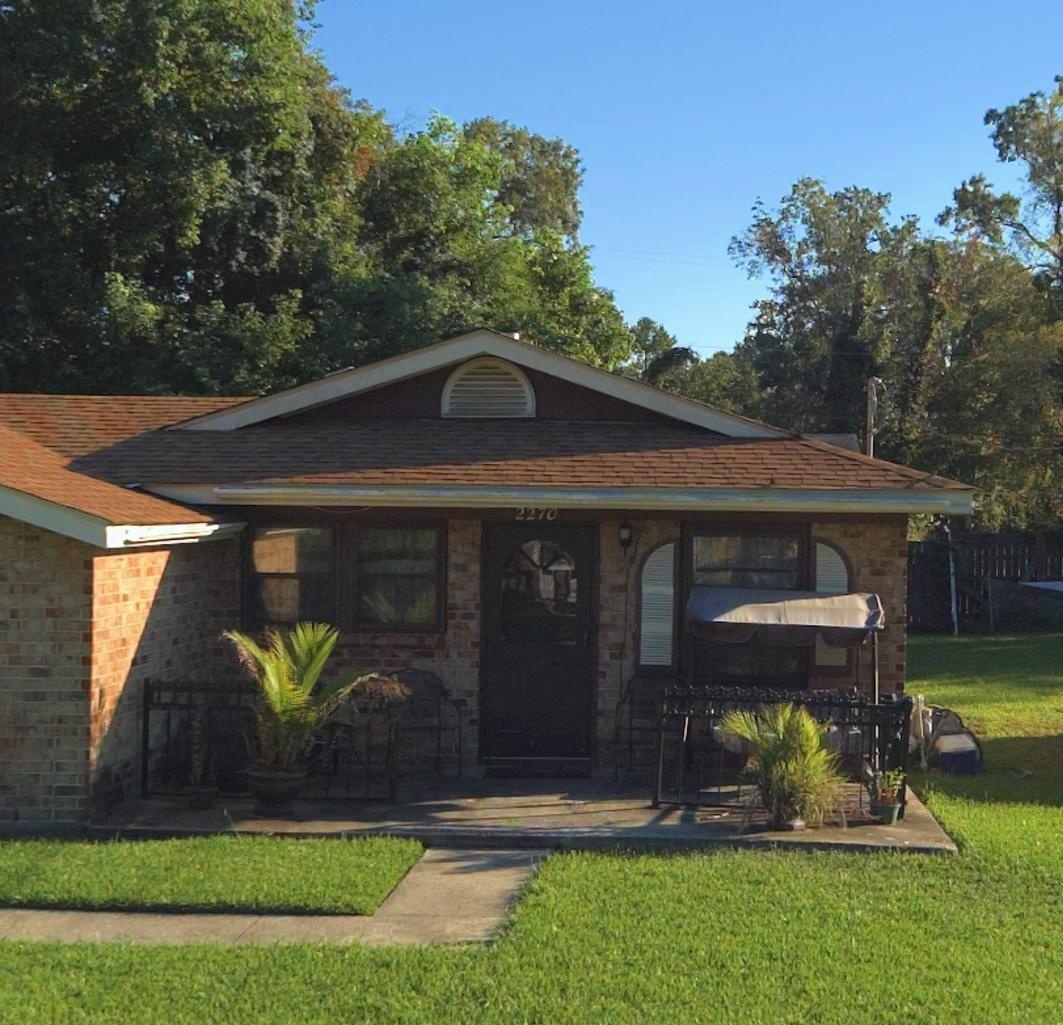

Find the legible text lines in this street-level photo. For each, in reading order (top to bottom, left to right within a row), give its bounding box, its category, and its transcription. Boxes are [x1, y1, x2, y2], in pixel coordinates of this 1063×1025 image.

[514, 507, 558, 521] StreetNumber: 2270